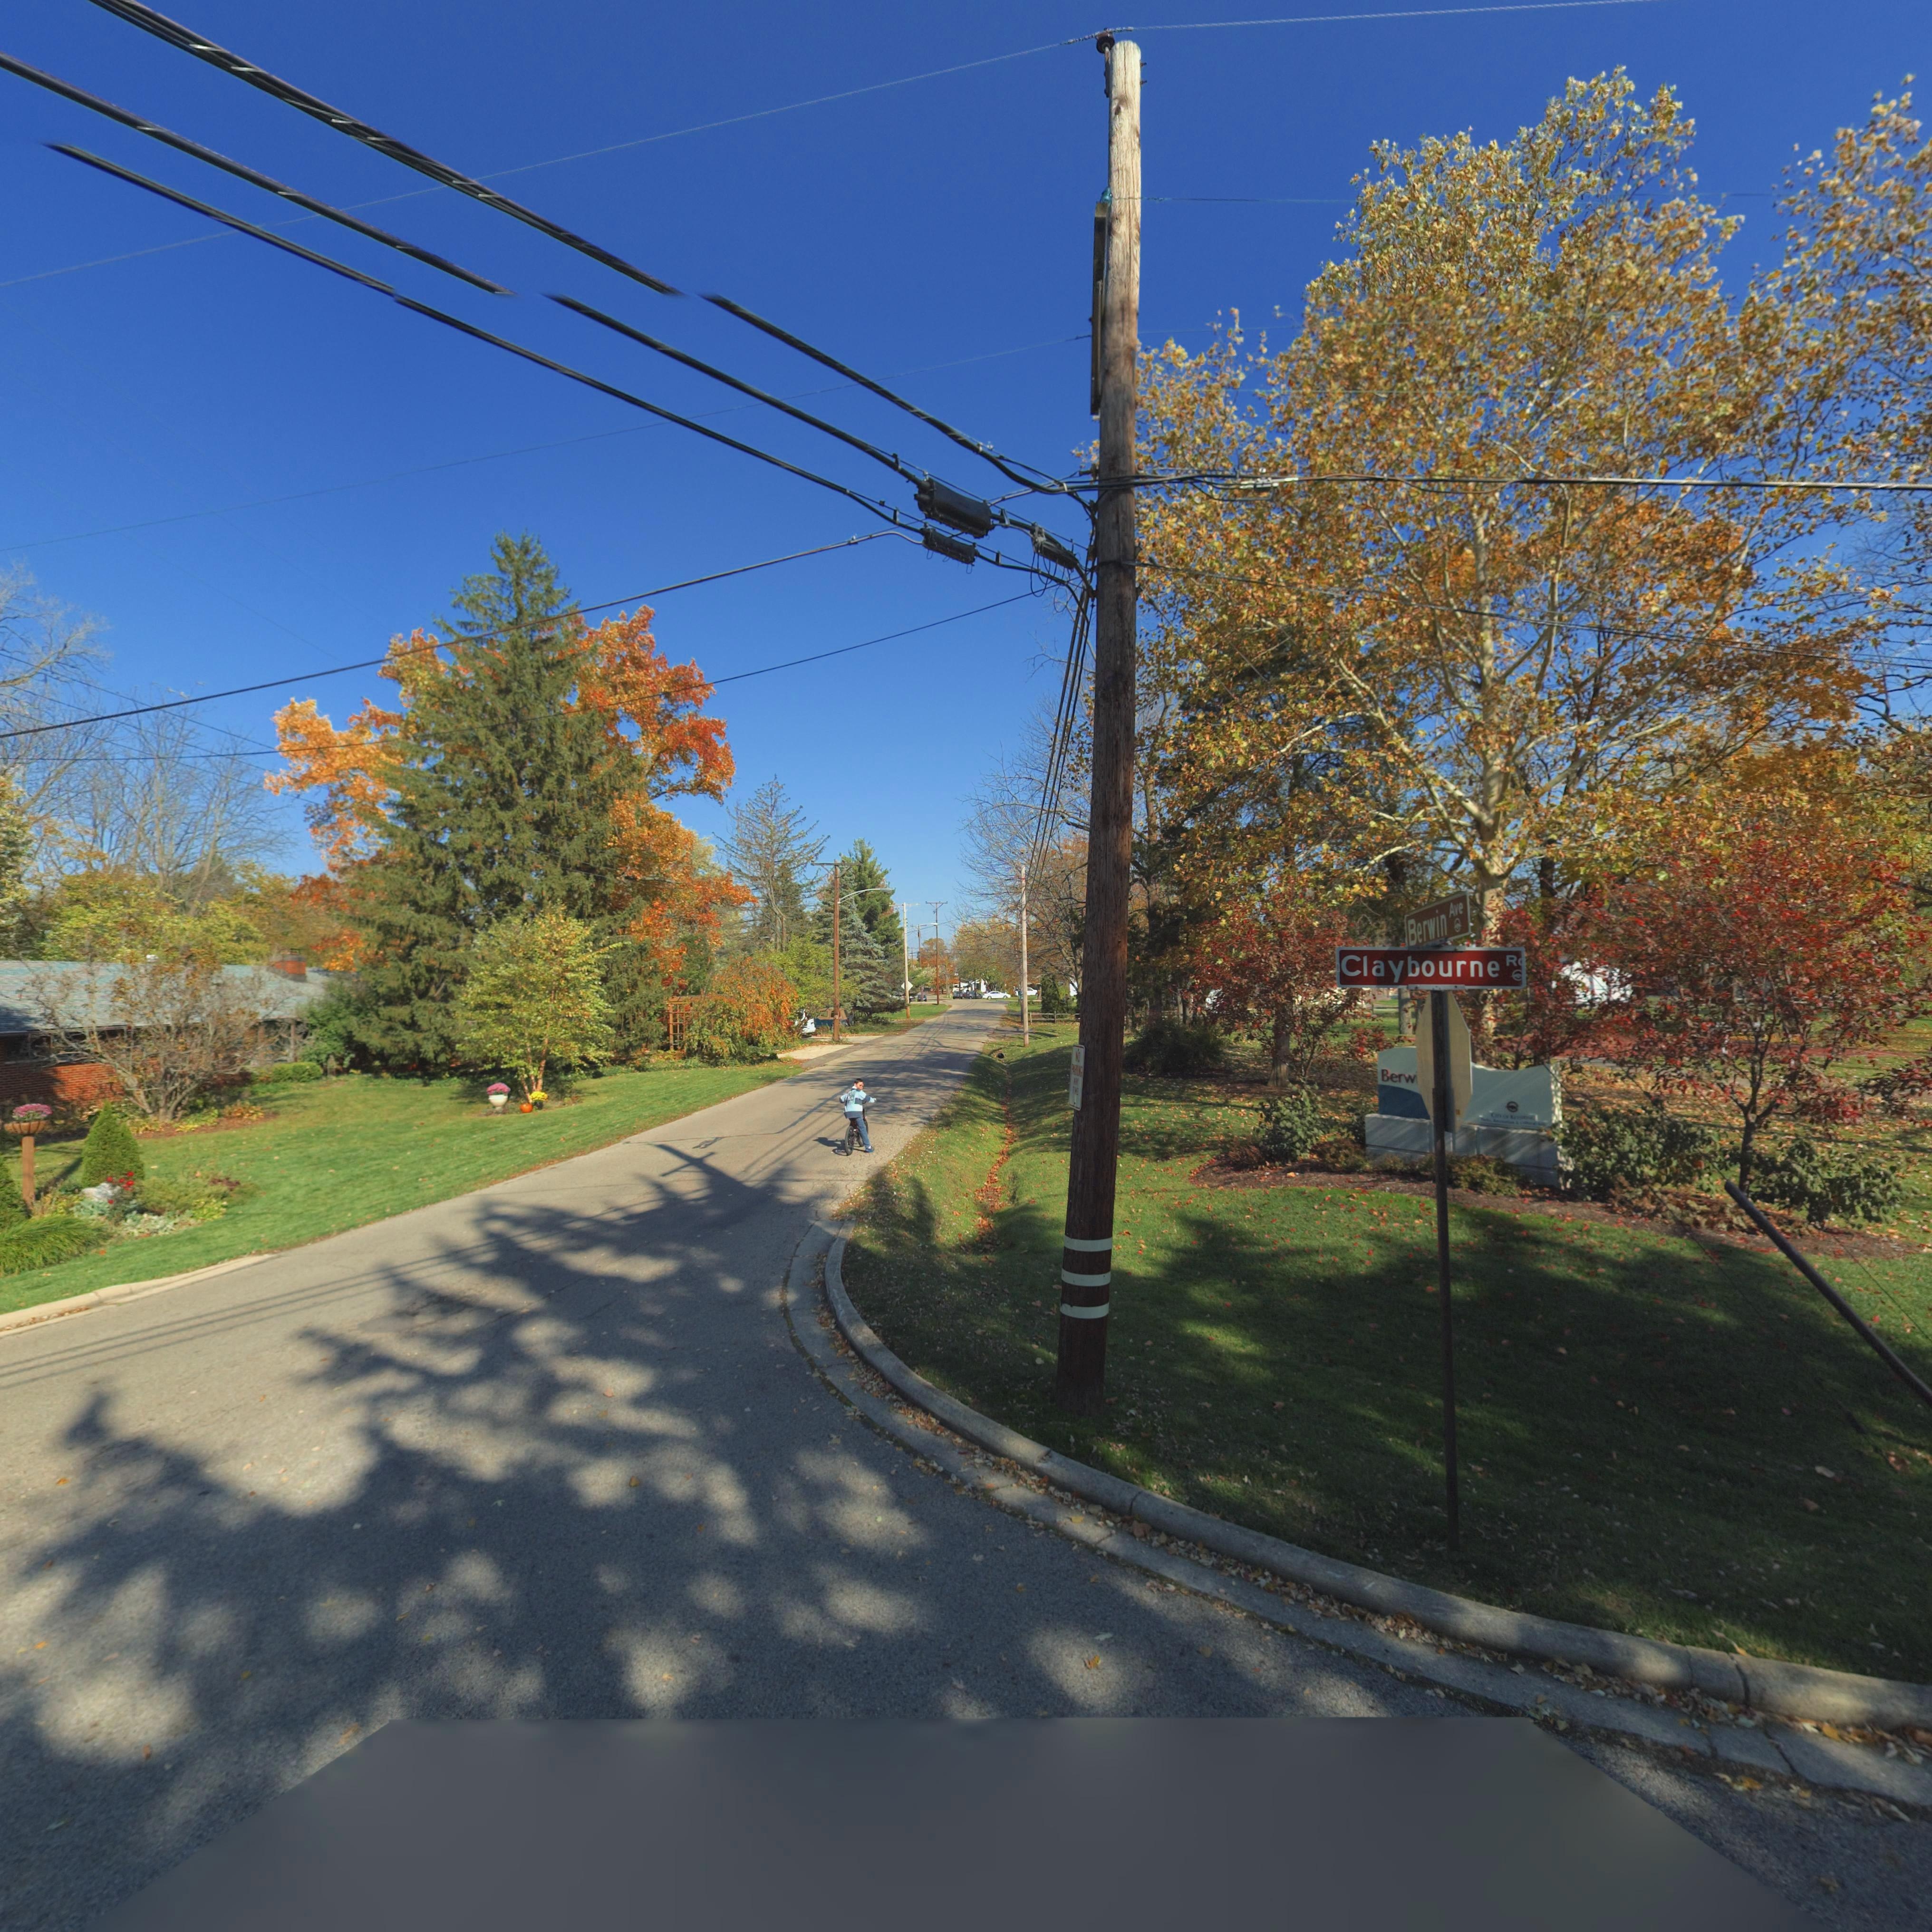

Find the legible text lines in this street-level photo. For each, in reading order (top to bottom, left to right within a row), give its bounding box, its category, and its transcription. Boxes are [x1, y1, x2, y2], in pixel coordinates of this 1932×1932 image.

[1406, 899, 1465, 947] StreetName: Berwin Ave
[1340, 952, 1519, 986] StreetName: Claybourne R
[1380, 1067, 1418, 1086] None: Berw